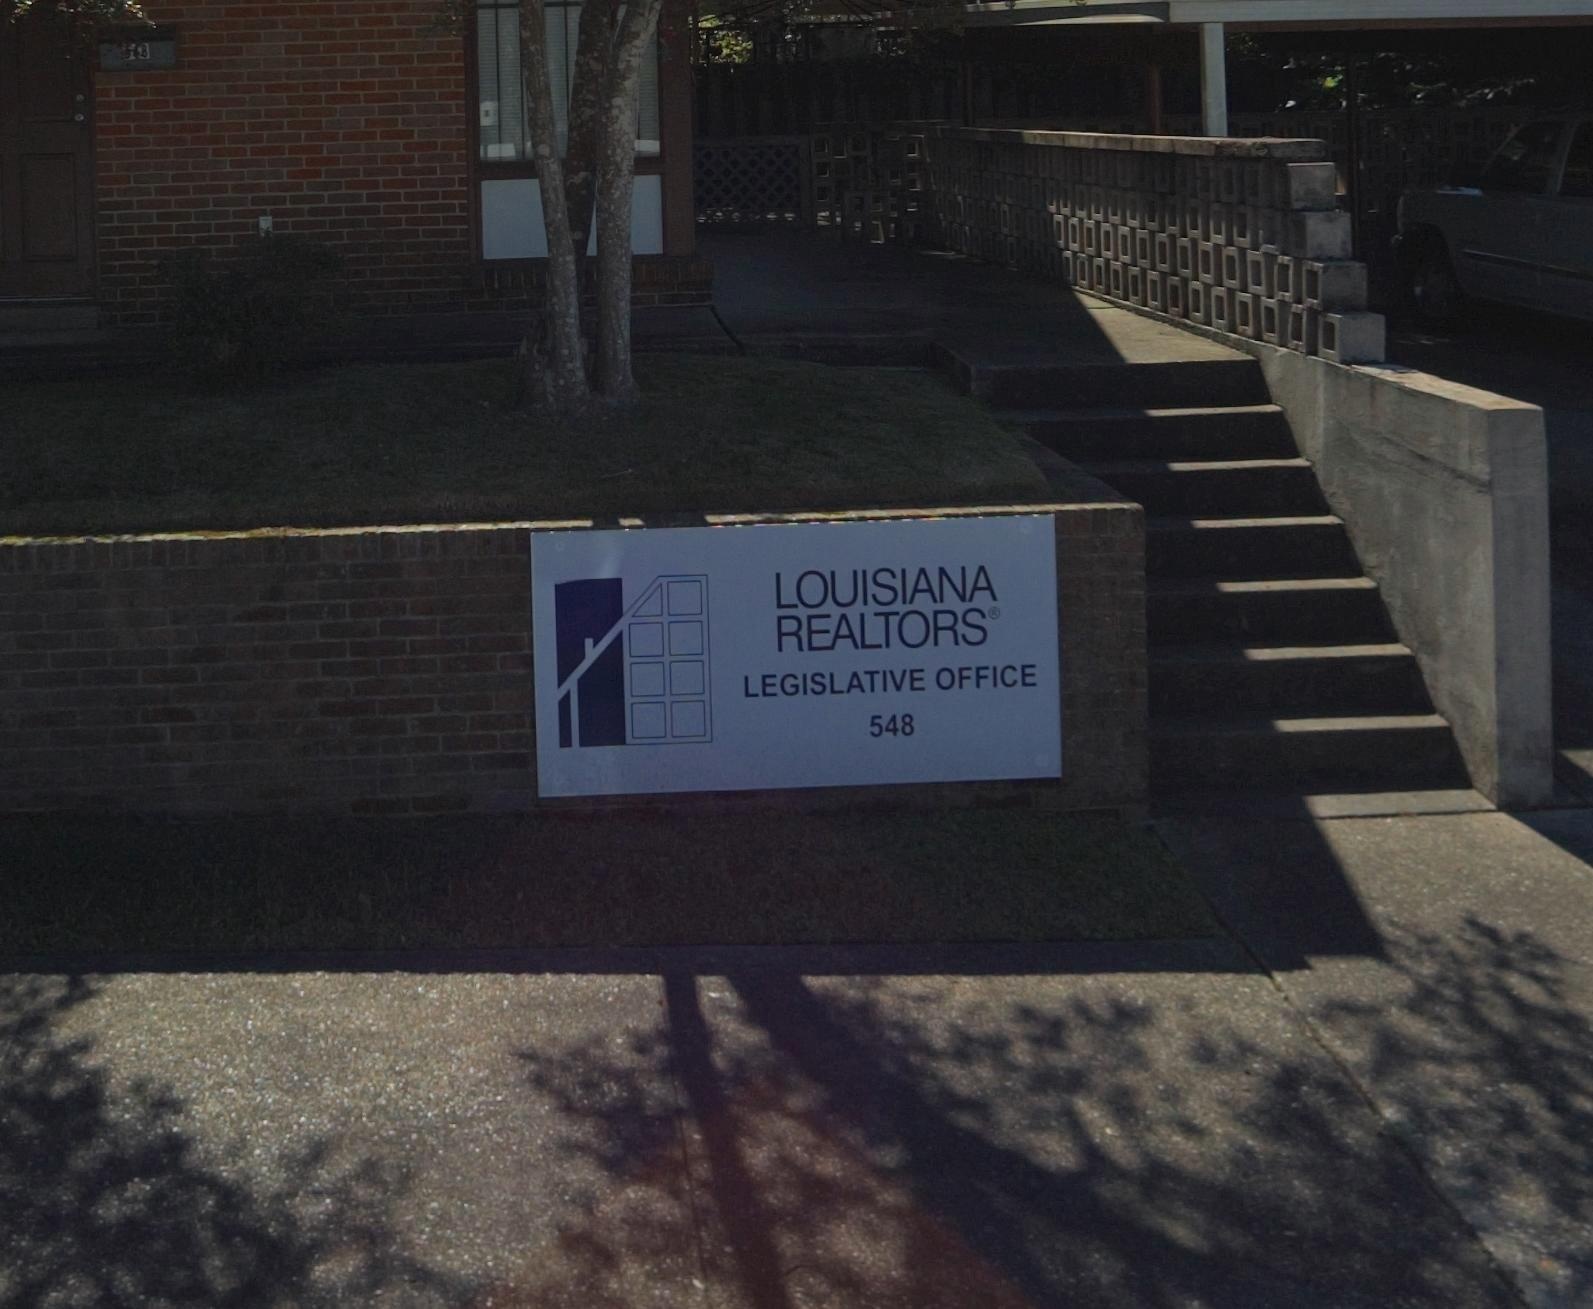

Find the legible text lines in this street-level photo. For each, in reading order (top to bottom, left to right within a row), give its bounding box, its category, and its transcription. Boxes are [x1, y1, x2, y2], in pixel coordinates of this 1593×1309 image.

[138, 41, 150, 60] StreetNumber: 8
[773, 562, 1003, 613] None: LOUISIANA
[774, 605, 992, 656] None: REALTORS
[742, 660, 1040, 701] None: LEGISLATIVE OFFICE
[867, 710, 918, 741] StreetNumber: 548